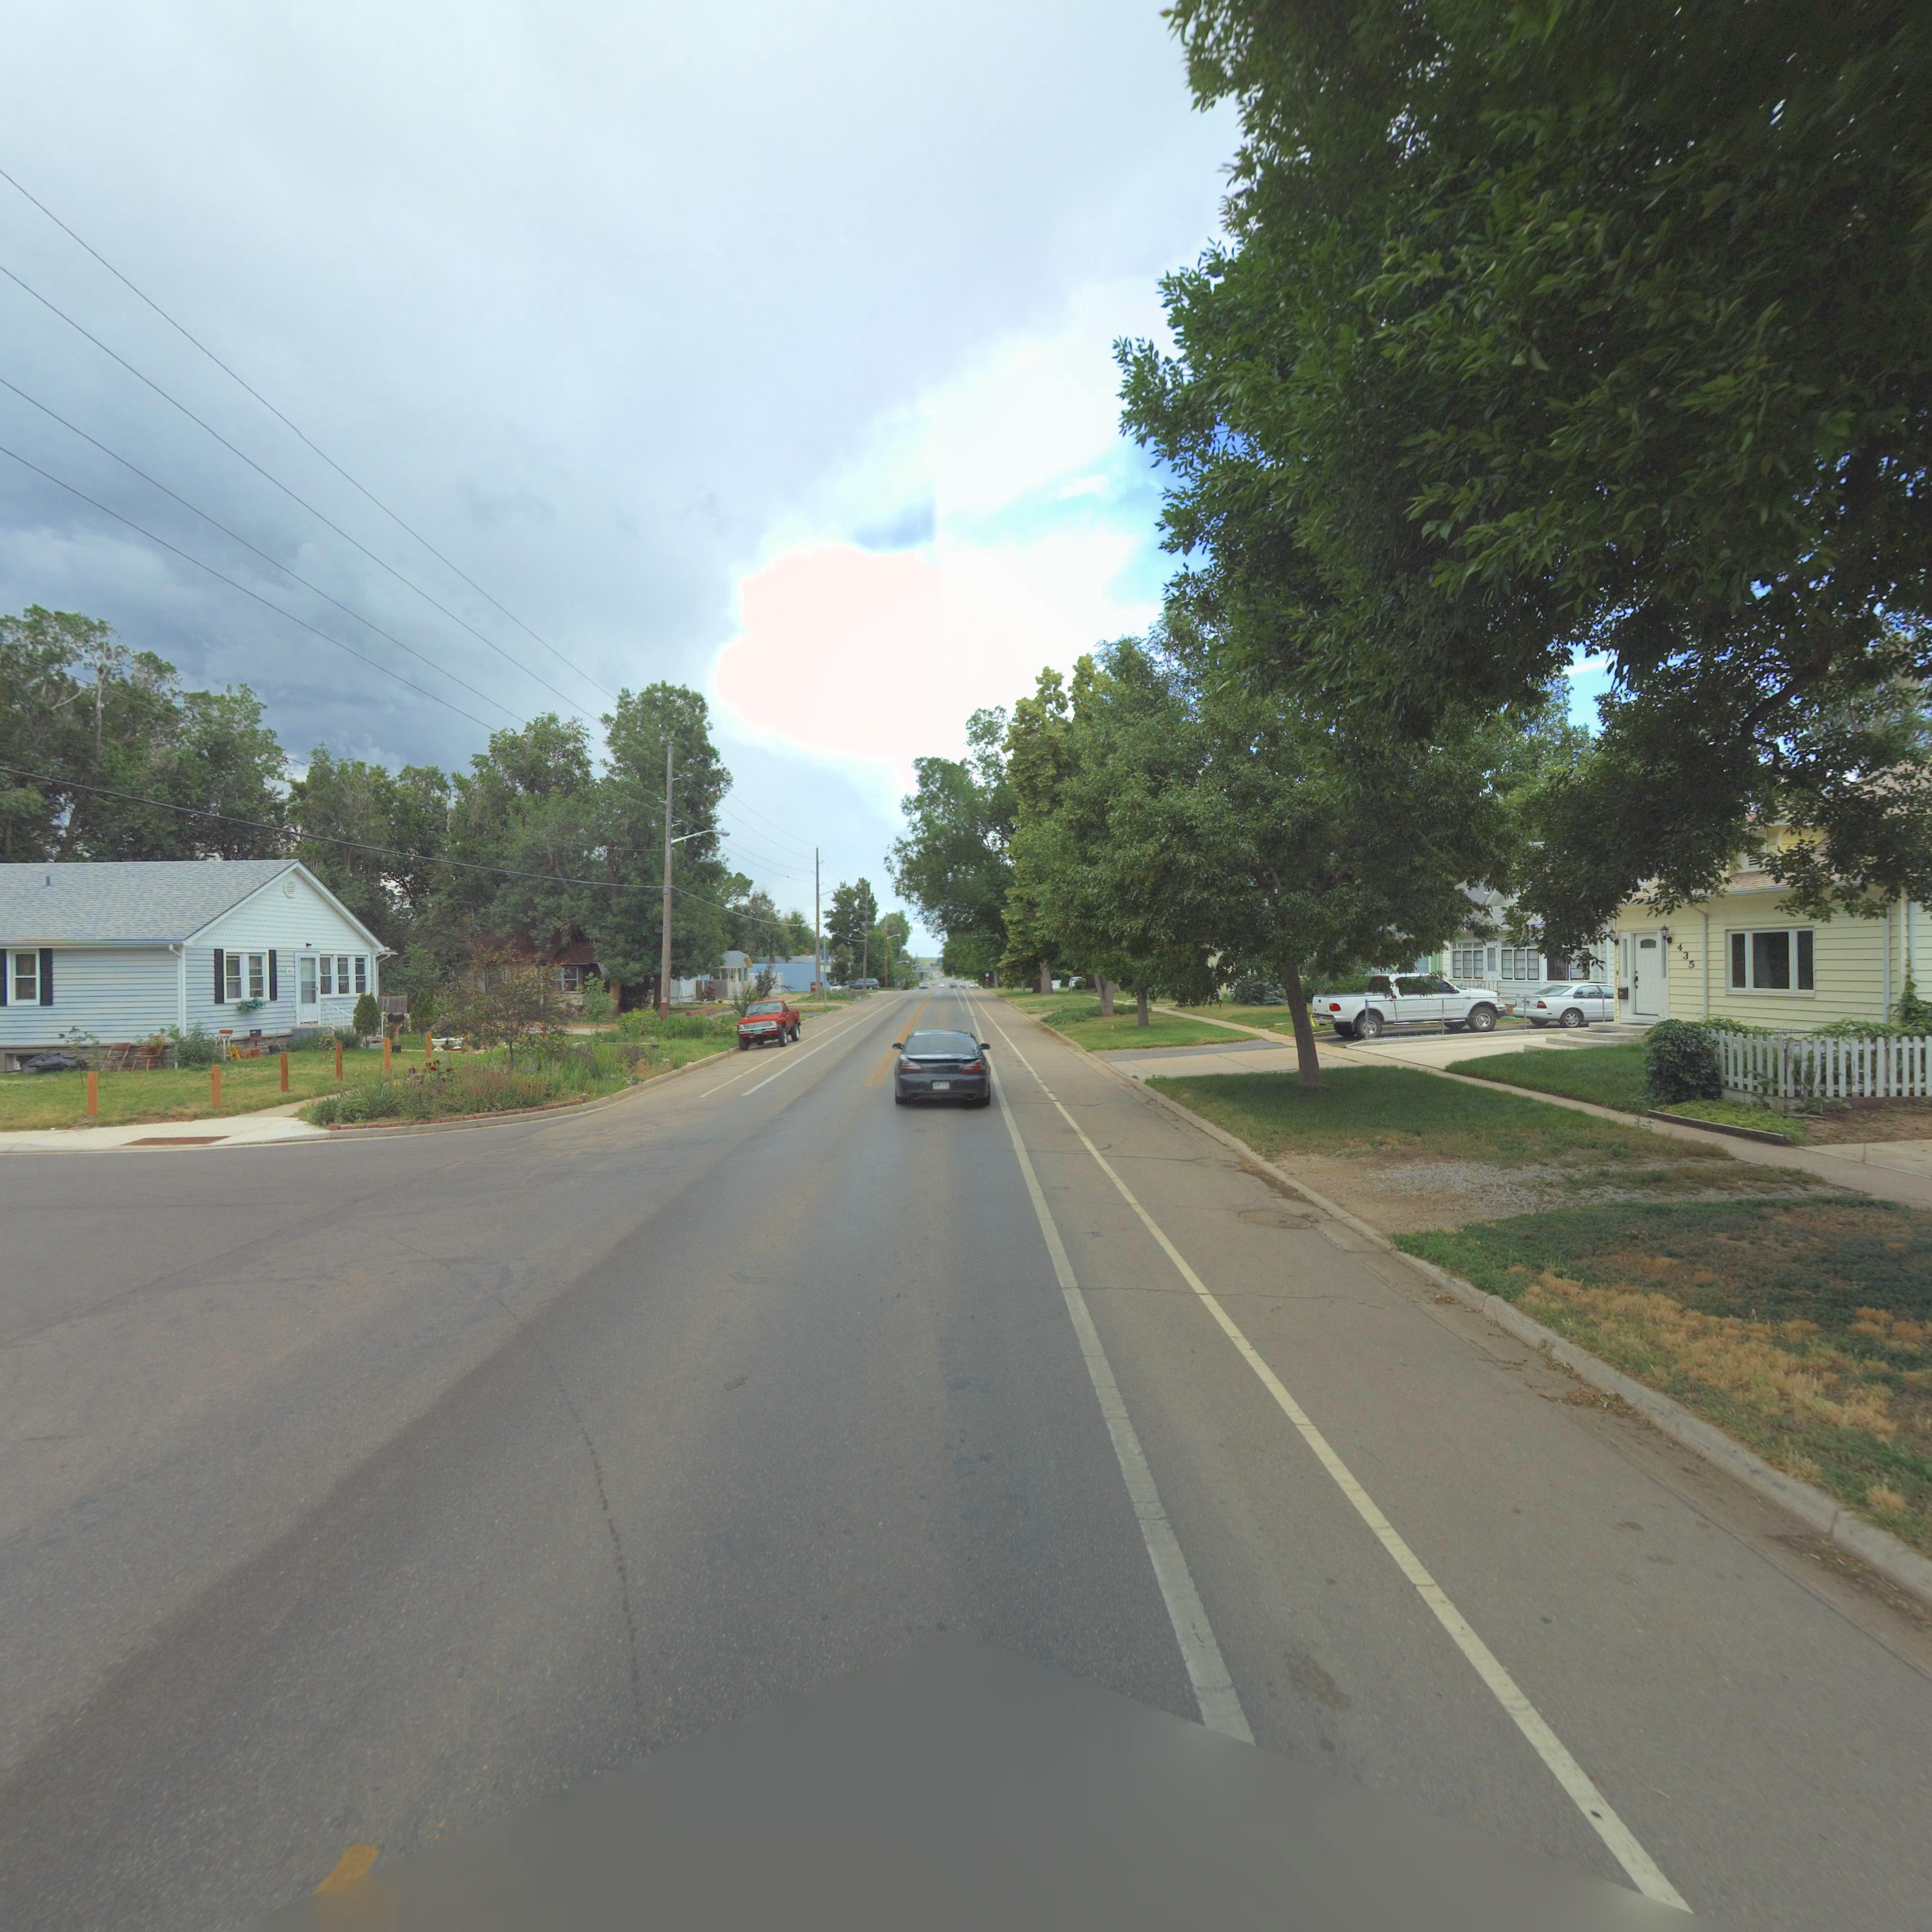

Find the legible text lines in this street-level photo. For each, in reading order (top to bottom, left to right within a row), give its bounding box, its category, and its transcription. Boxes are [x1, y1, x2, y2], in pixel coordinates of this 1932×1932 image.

[1676, 942, 1695, 969] StreetNumber: 435